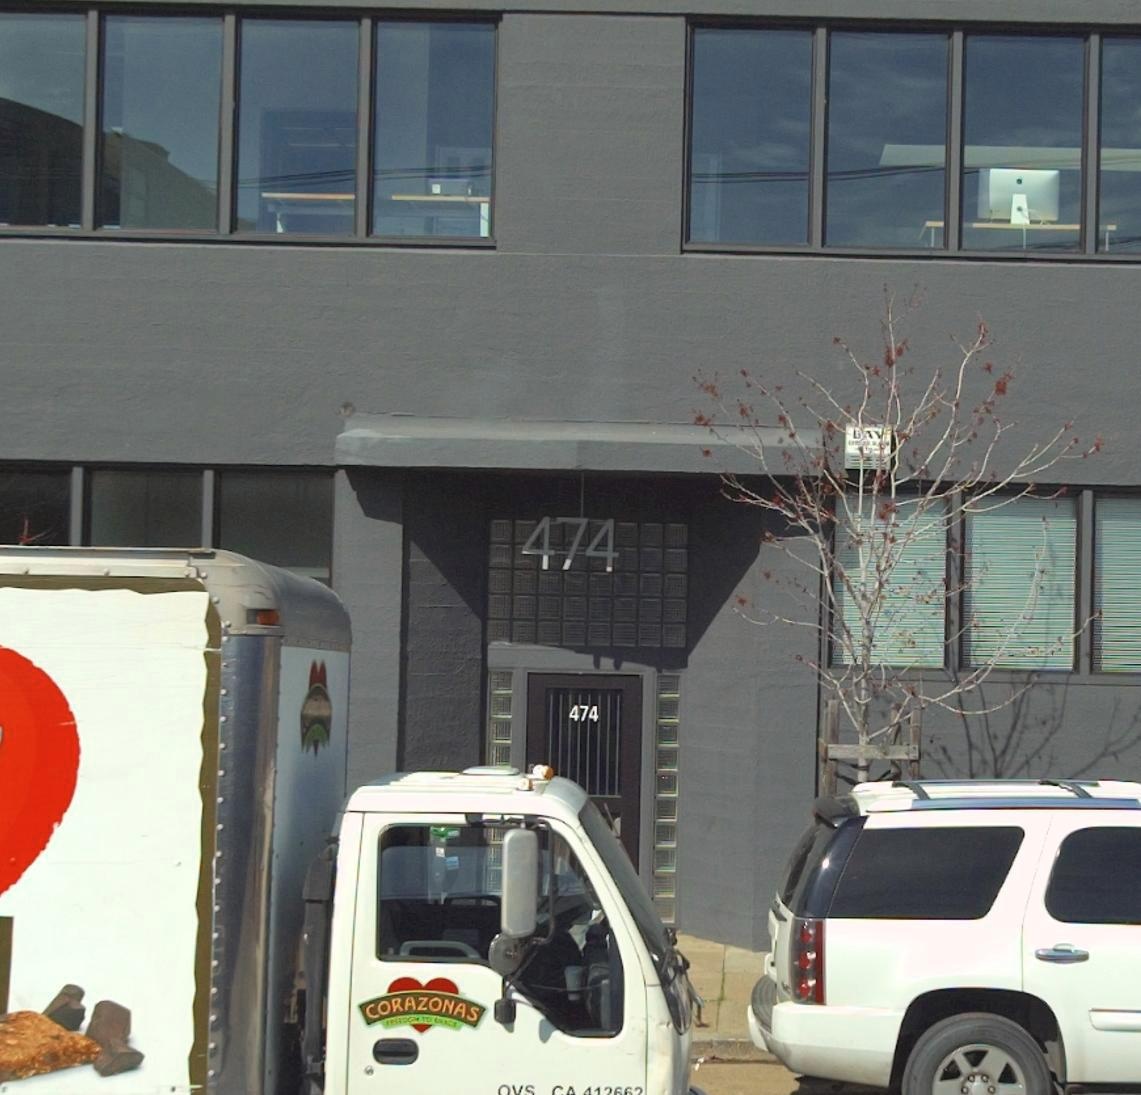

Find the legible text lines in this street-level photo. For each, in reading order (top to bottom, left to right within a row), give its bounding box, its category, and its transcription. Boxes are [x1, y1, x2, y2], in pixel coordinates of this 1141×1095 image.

[514, 512, 627, 578] StreetNumber: 474
[564, 700, 602, 727] StreetNumber: 474
[356, 991, 485, 1027] None: CORAZONAS